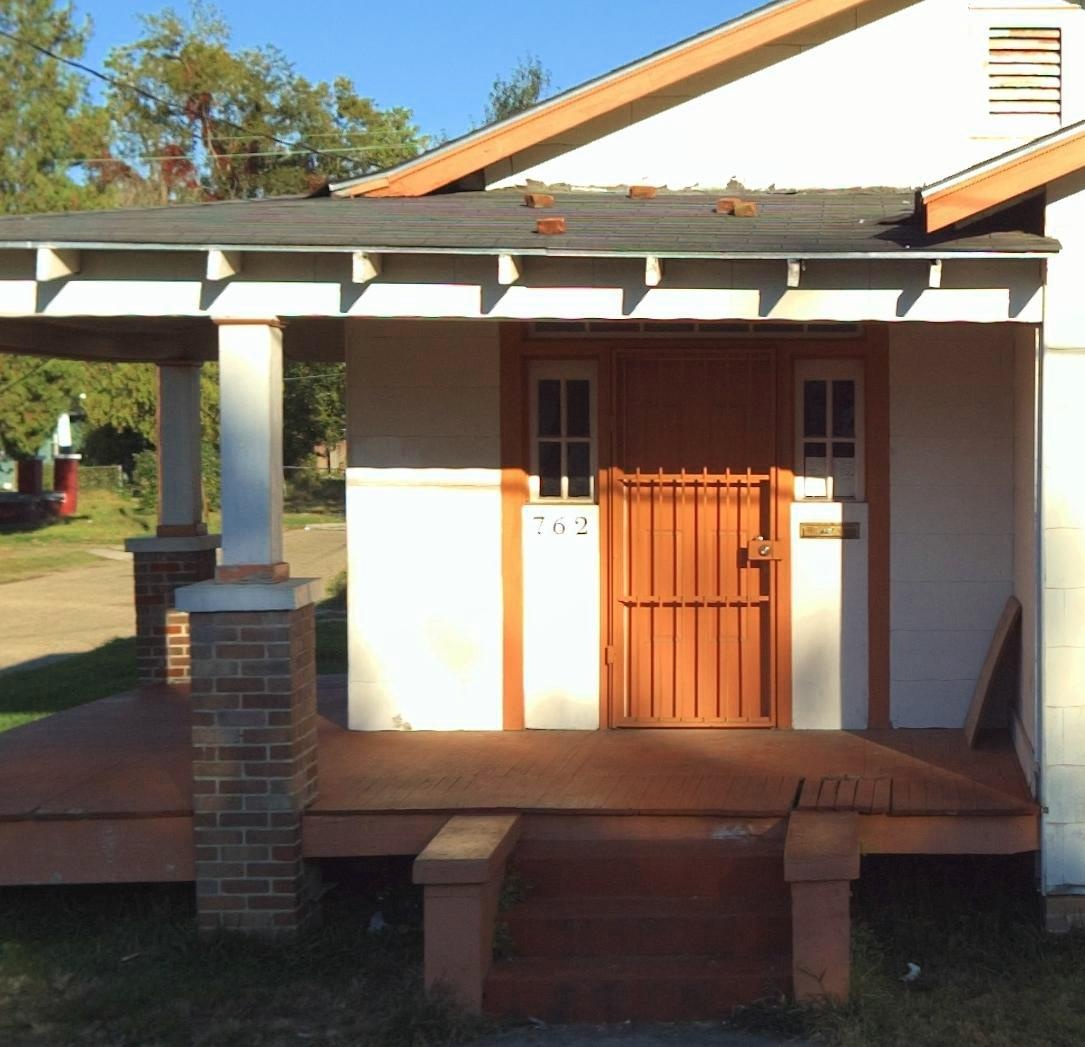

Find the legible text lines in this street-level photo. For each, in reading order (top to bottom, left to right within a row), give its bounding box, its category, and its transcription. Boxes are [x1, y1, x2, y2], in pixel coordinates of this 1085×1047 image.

[531, 514, 590, 538] StreetNumber: 762